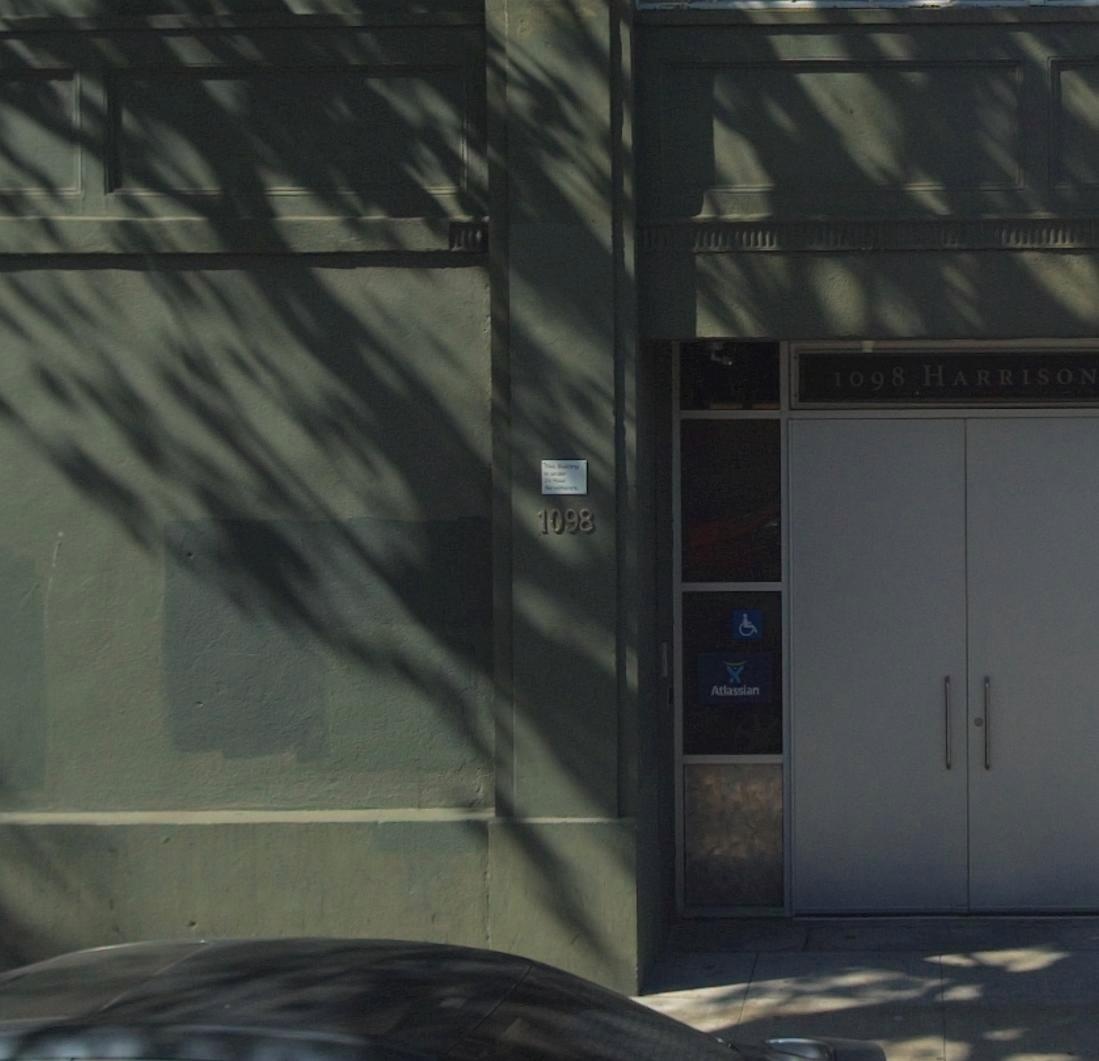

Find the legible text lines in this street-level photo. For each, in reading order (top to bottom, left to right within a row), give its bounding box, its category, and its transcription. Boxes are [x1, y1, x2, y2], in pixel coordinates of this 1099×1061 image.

[831, 364, 908, 395] StreetNumber: 1098
[920, 361, 1098, 390] StreetName: HARRISON
[532, 504, 599, 540] StreetNumber: 1098
[708, 679, 763, 698] None: Atlassian